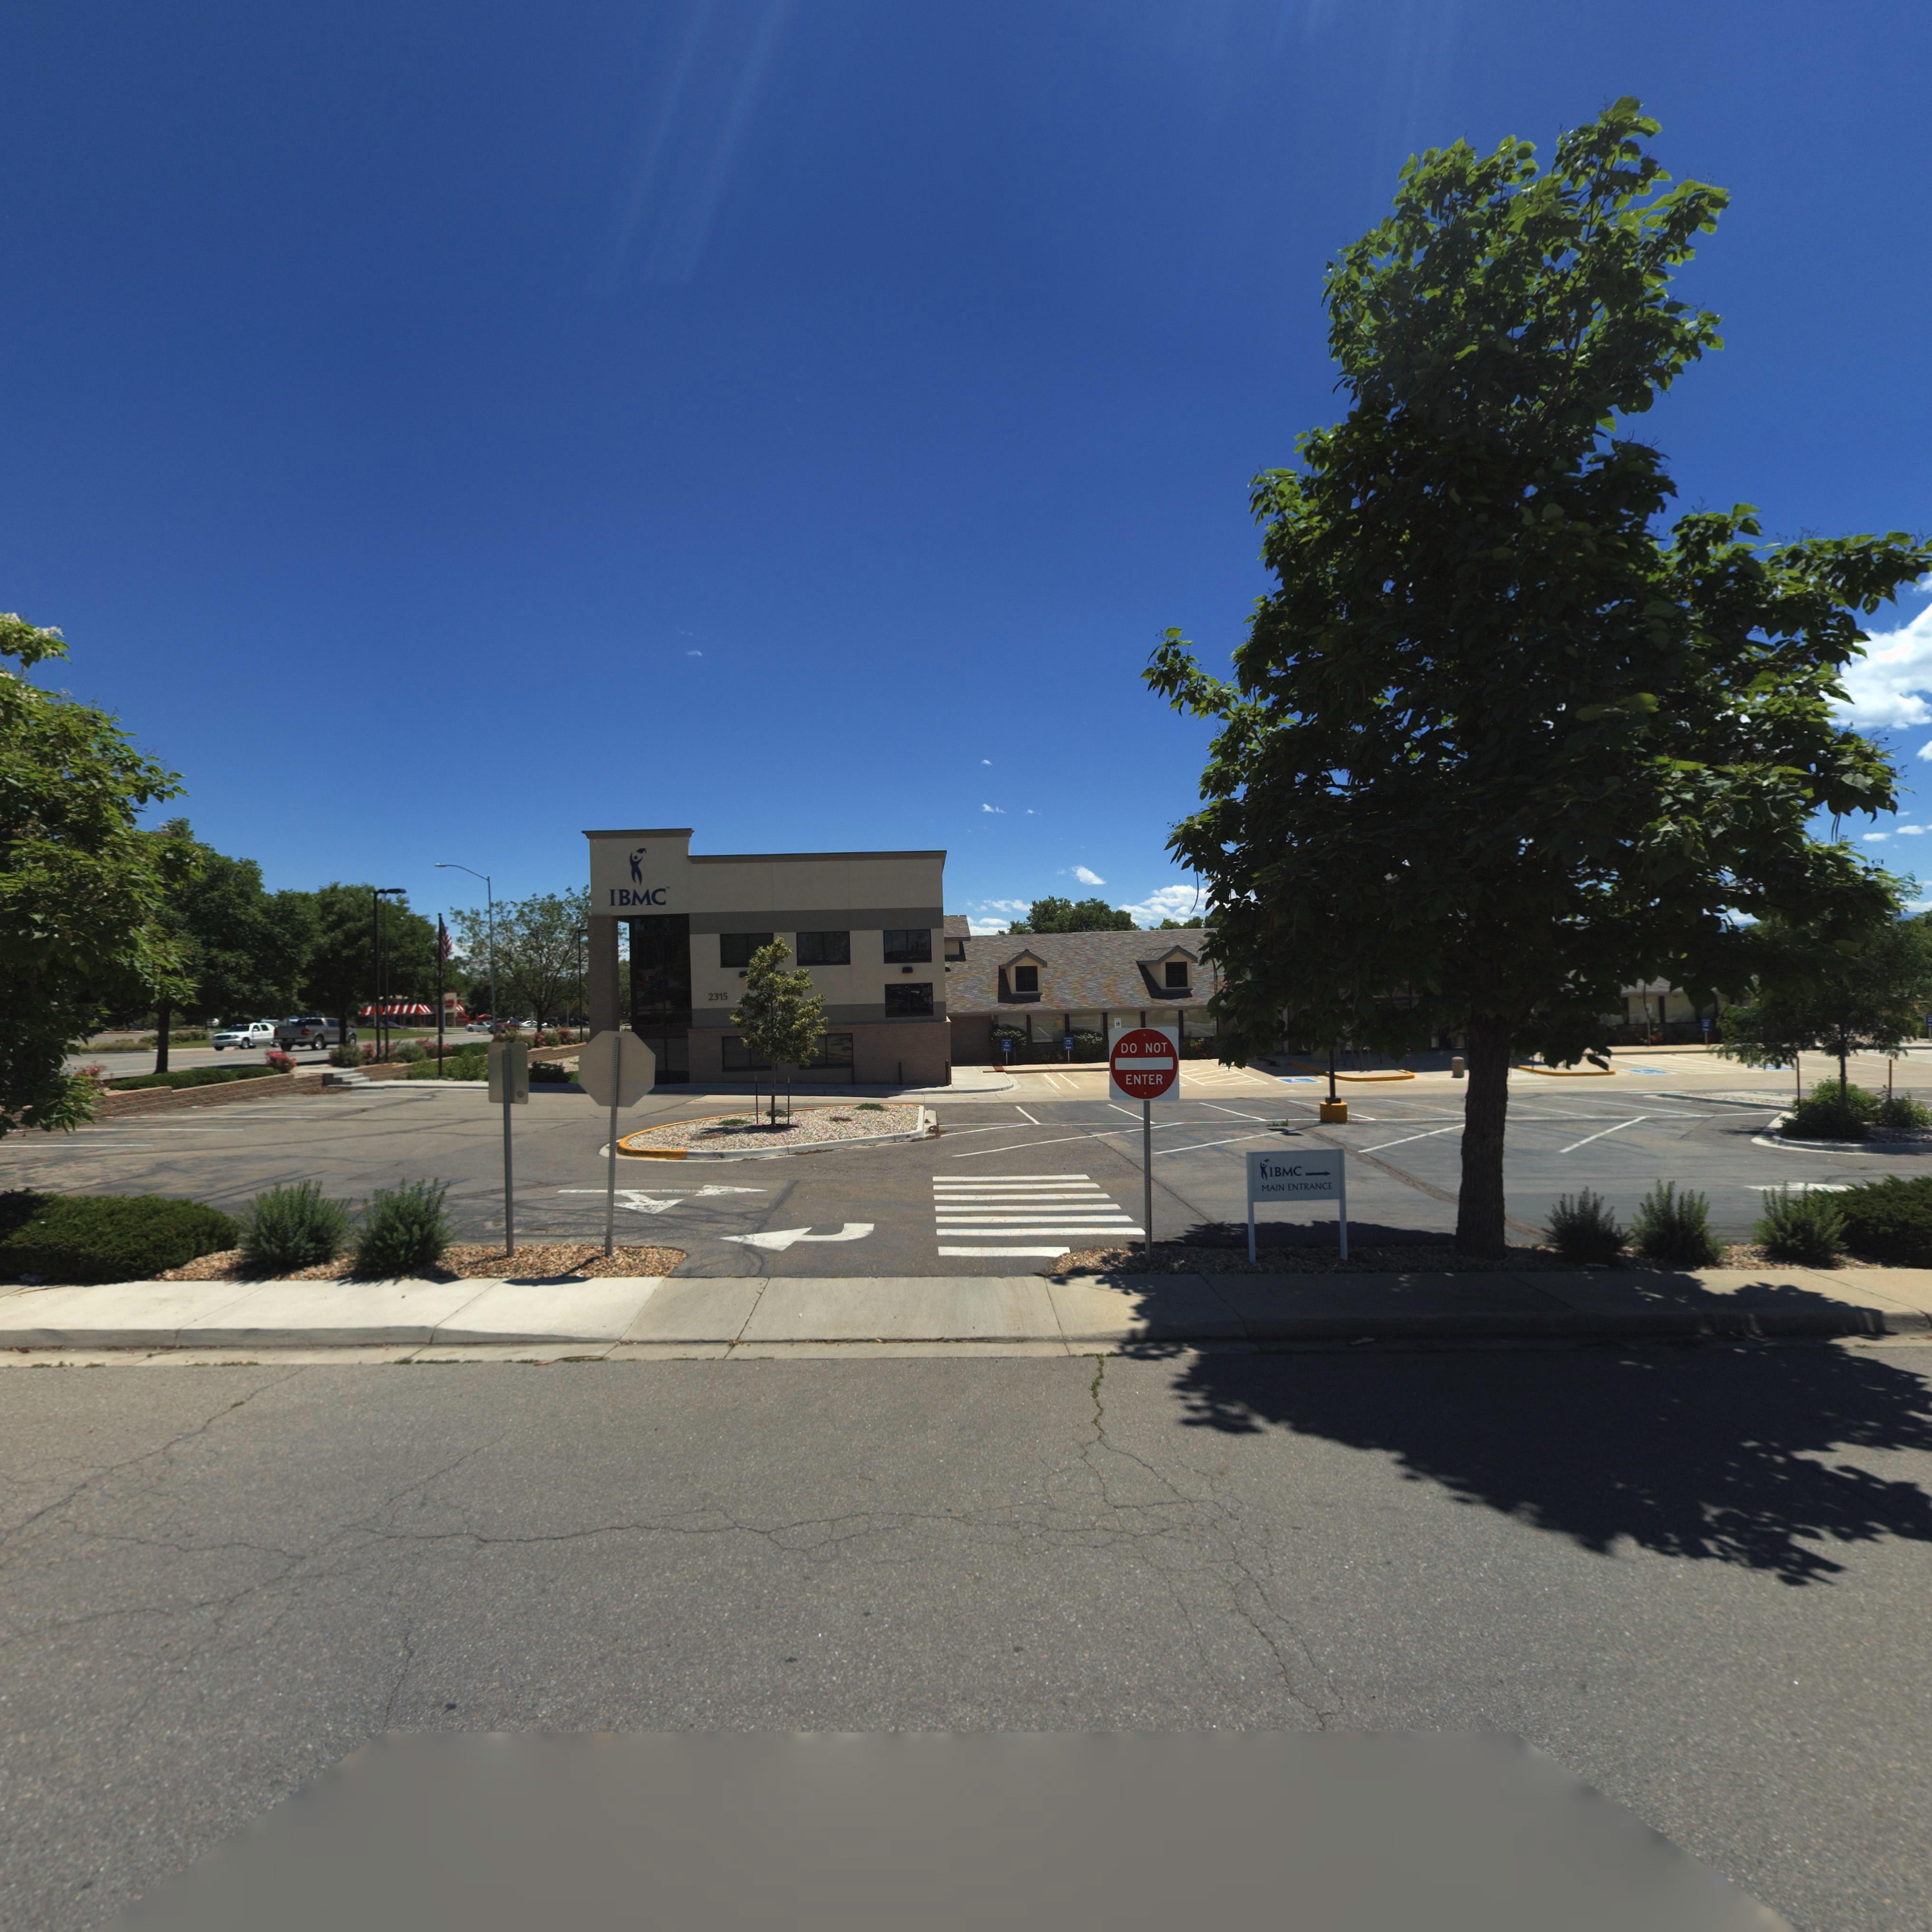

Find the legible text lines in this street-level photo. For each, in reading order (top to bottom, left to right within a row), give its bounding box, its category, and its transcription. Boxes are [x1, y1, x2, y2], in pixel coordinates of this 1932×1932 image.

[608, 888, 666, 907] BusinessName: IBMC
[708, 992, 727, 1000] StreetNumber: 2315
[1268, 1166, 1302, 1177] BusinessName: IBMC